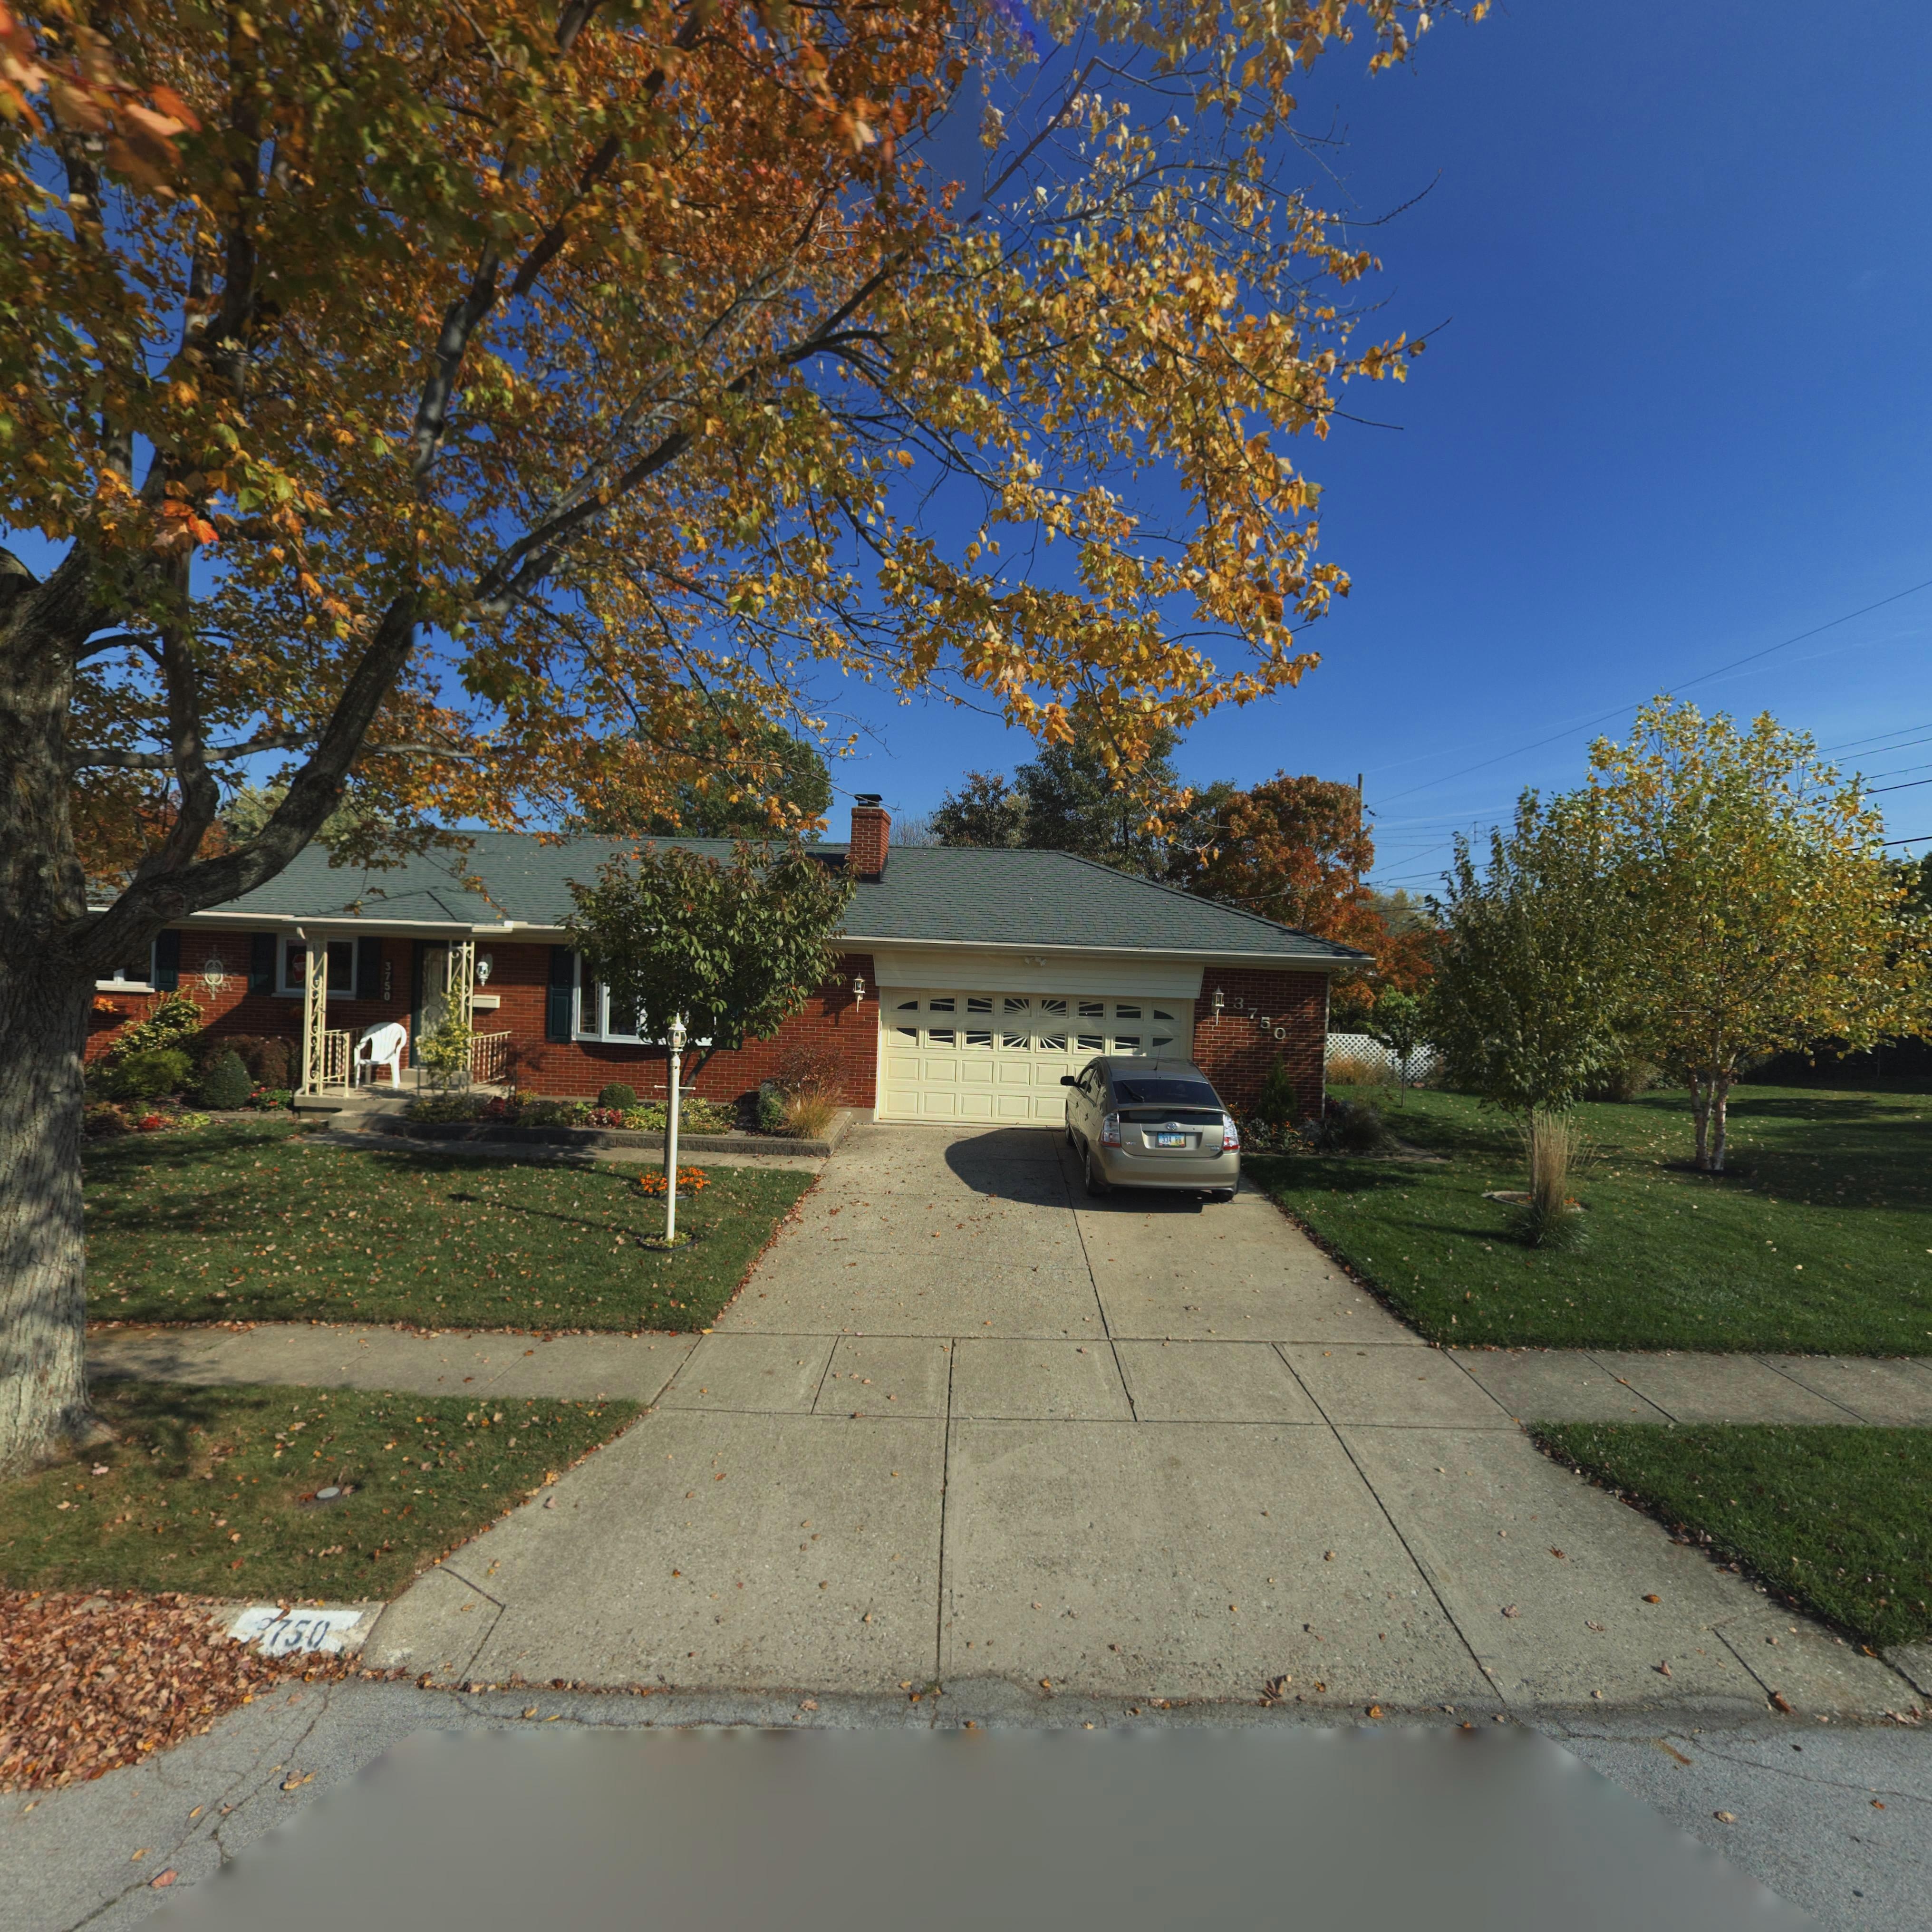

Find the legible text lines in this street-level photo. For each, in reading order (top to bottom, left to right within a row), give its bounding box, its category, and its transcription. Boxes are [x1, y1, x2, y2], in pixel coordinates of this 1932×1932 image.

[383, 961, 392, 1002] None: 3750
[1232, 996, 1287, 1041] None: 3750
[1161, 1136, 1182, 1144] None: 334 RH
[244, 1616, 335, 1650] StreetNumber: 3750